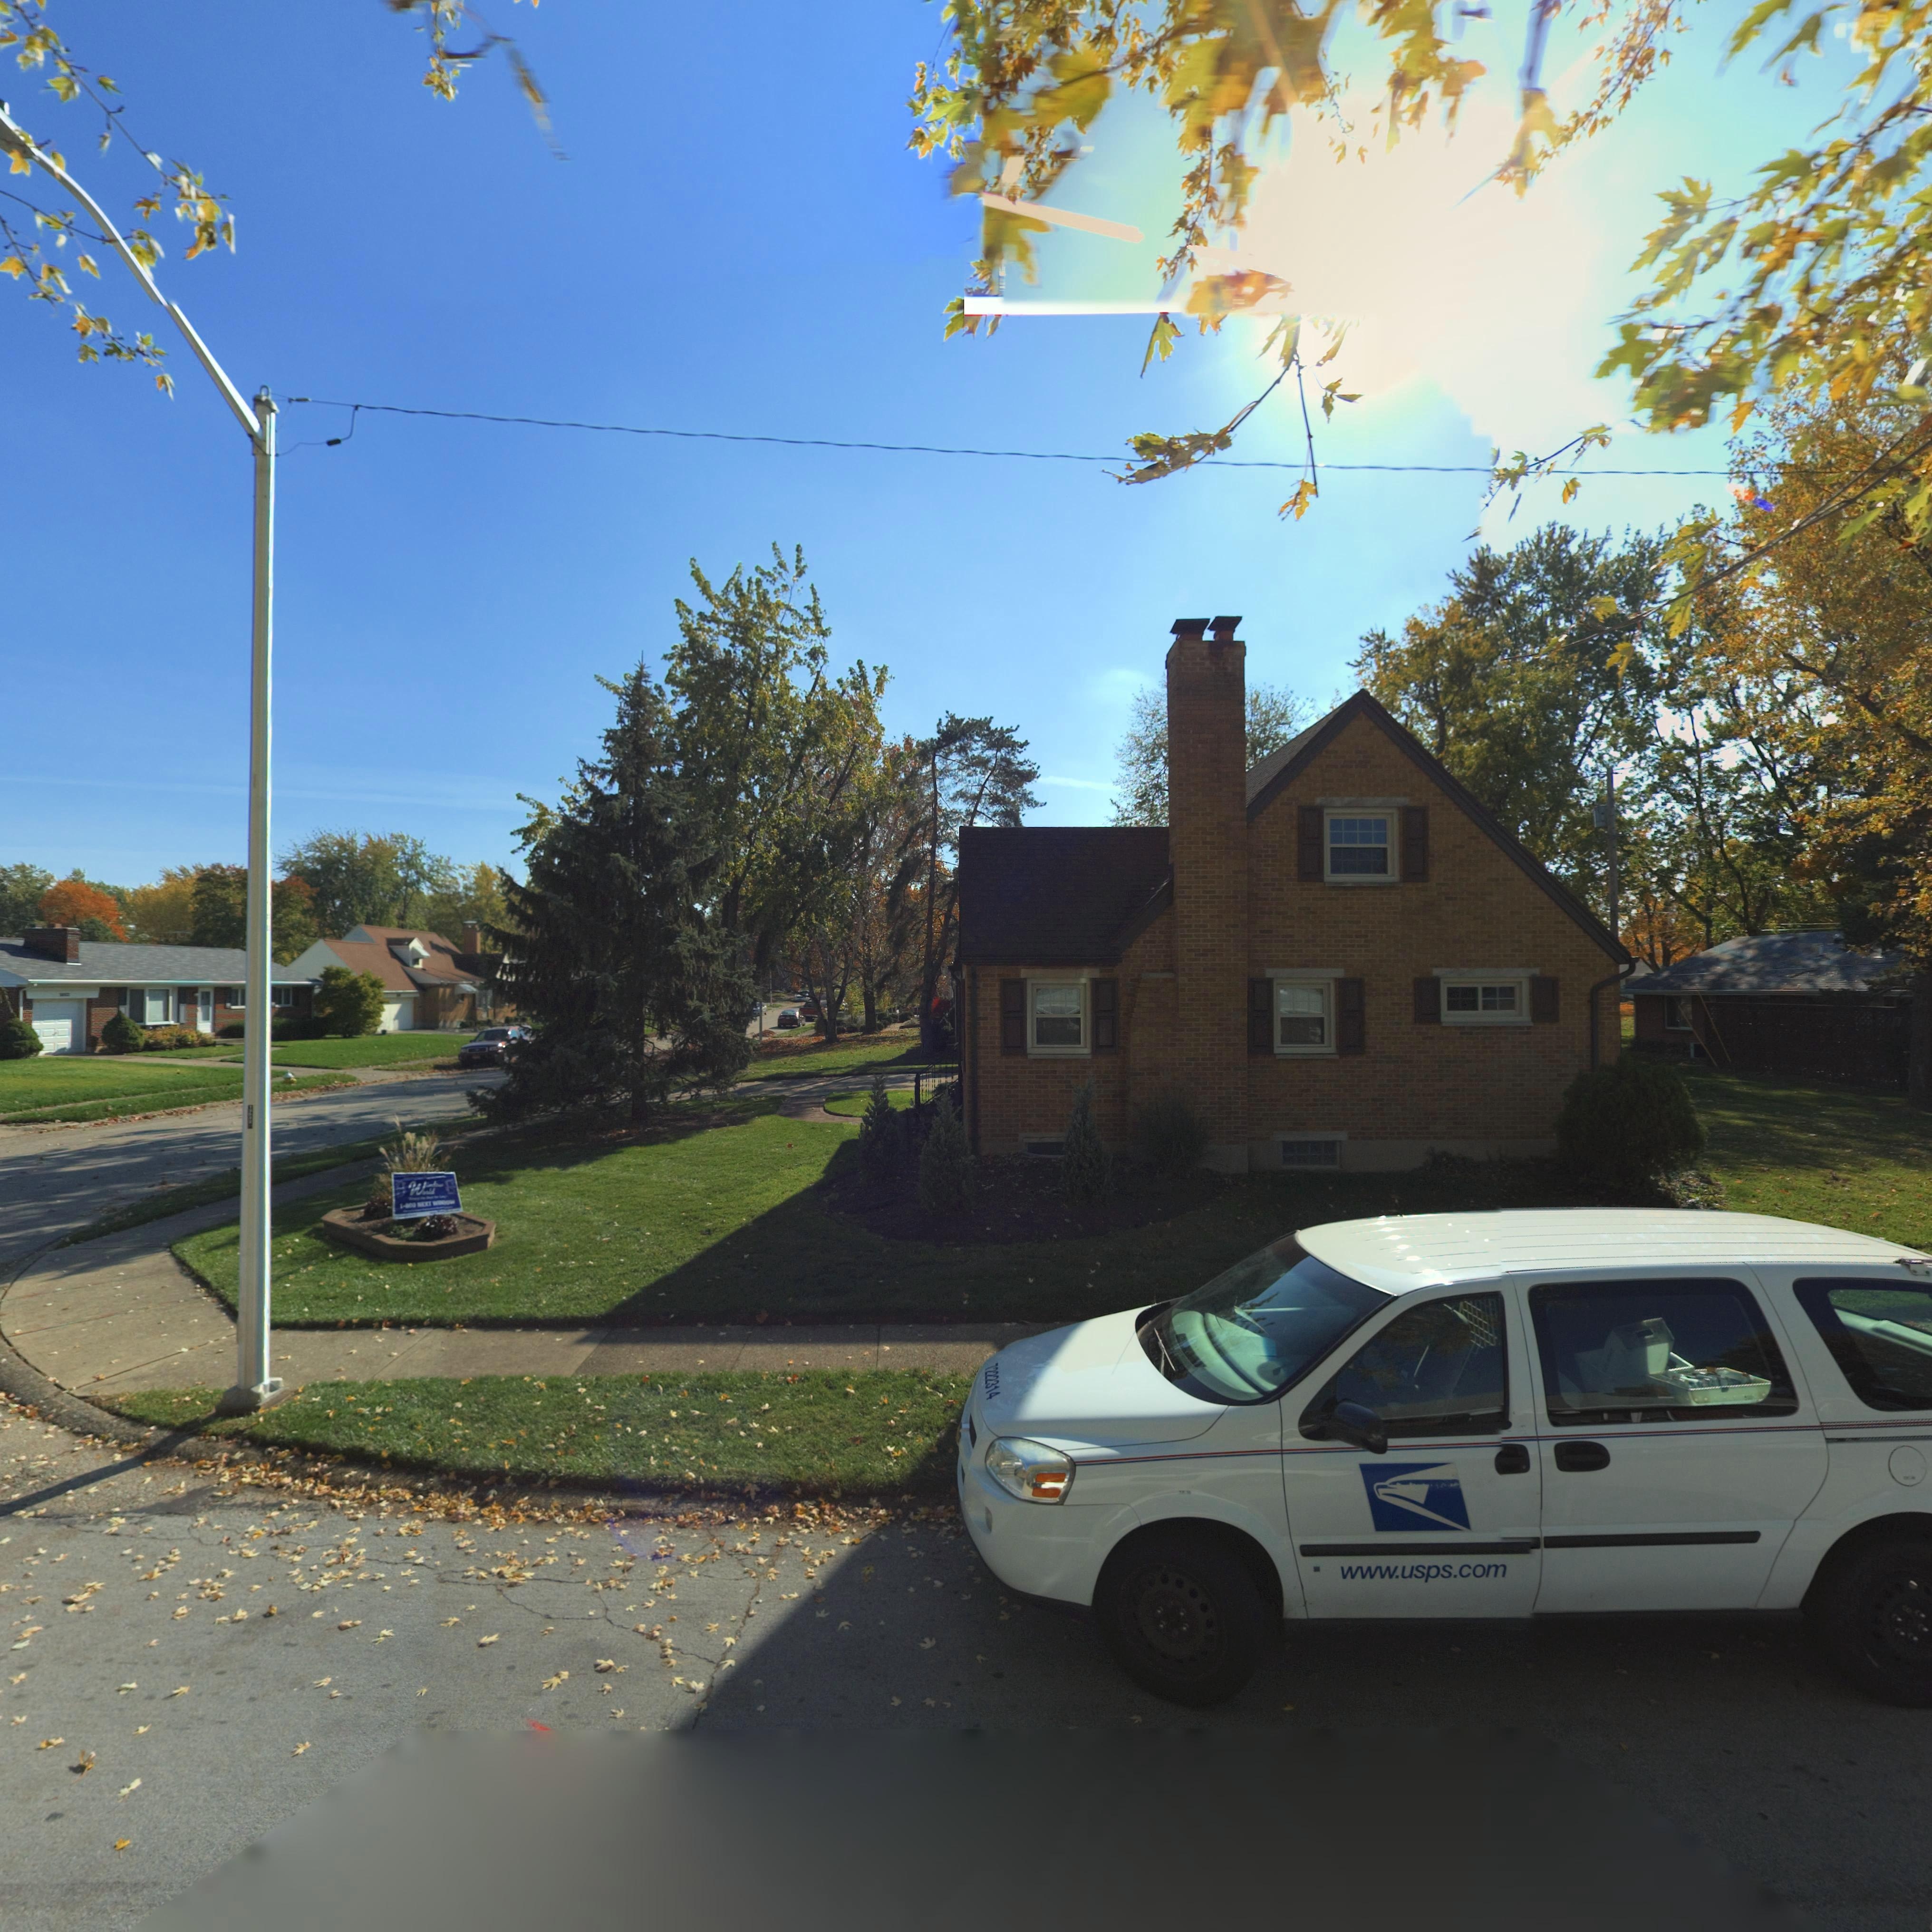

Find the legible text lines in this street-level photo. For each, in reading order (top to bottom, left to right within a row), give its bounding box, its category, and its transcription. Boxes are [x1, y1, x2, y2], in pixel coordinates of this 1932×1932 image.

[247, 1104, 253, 1124] None: 1****
[407, 1180, 427, 1196] None: W
[421, 1187, 435, 1195] None: orld
[399, 1201, 432, 1209] None: 1-*00 NEXT
[984, 1361, 1002, 1401] None: 7222314
[1339, 1563, 1509, 1585] None: www.usps.com